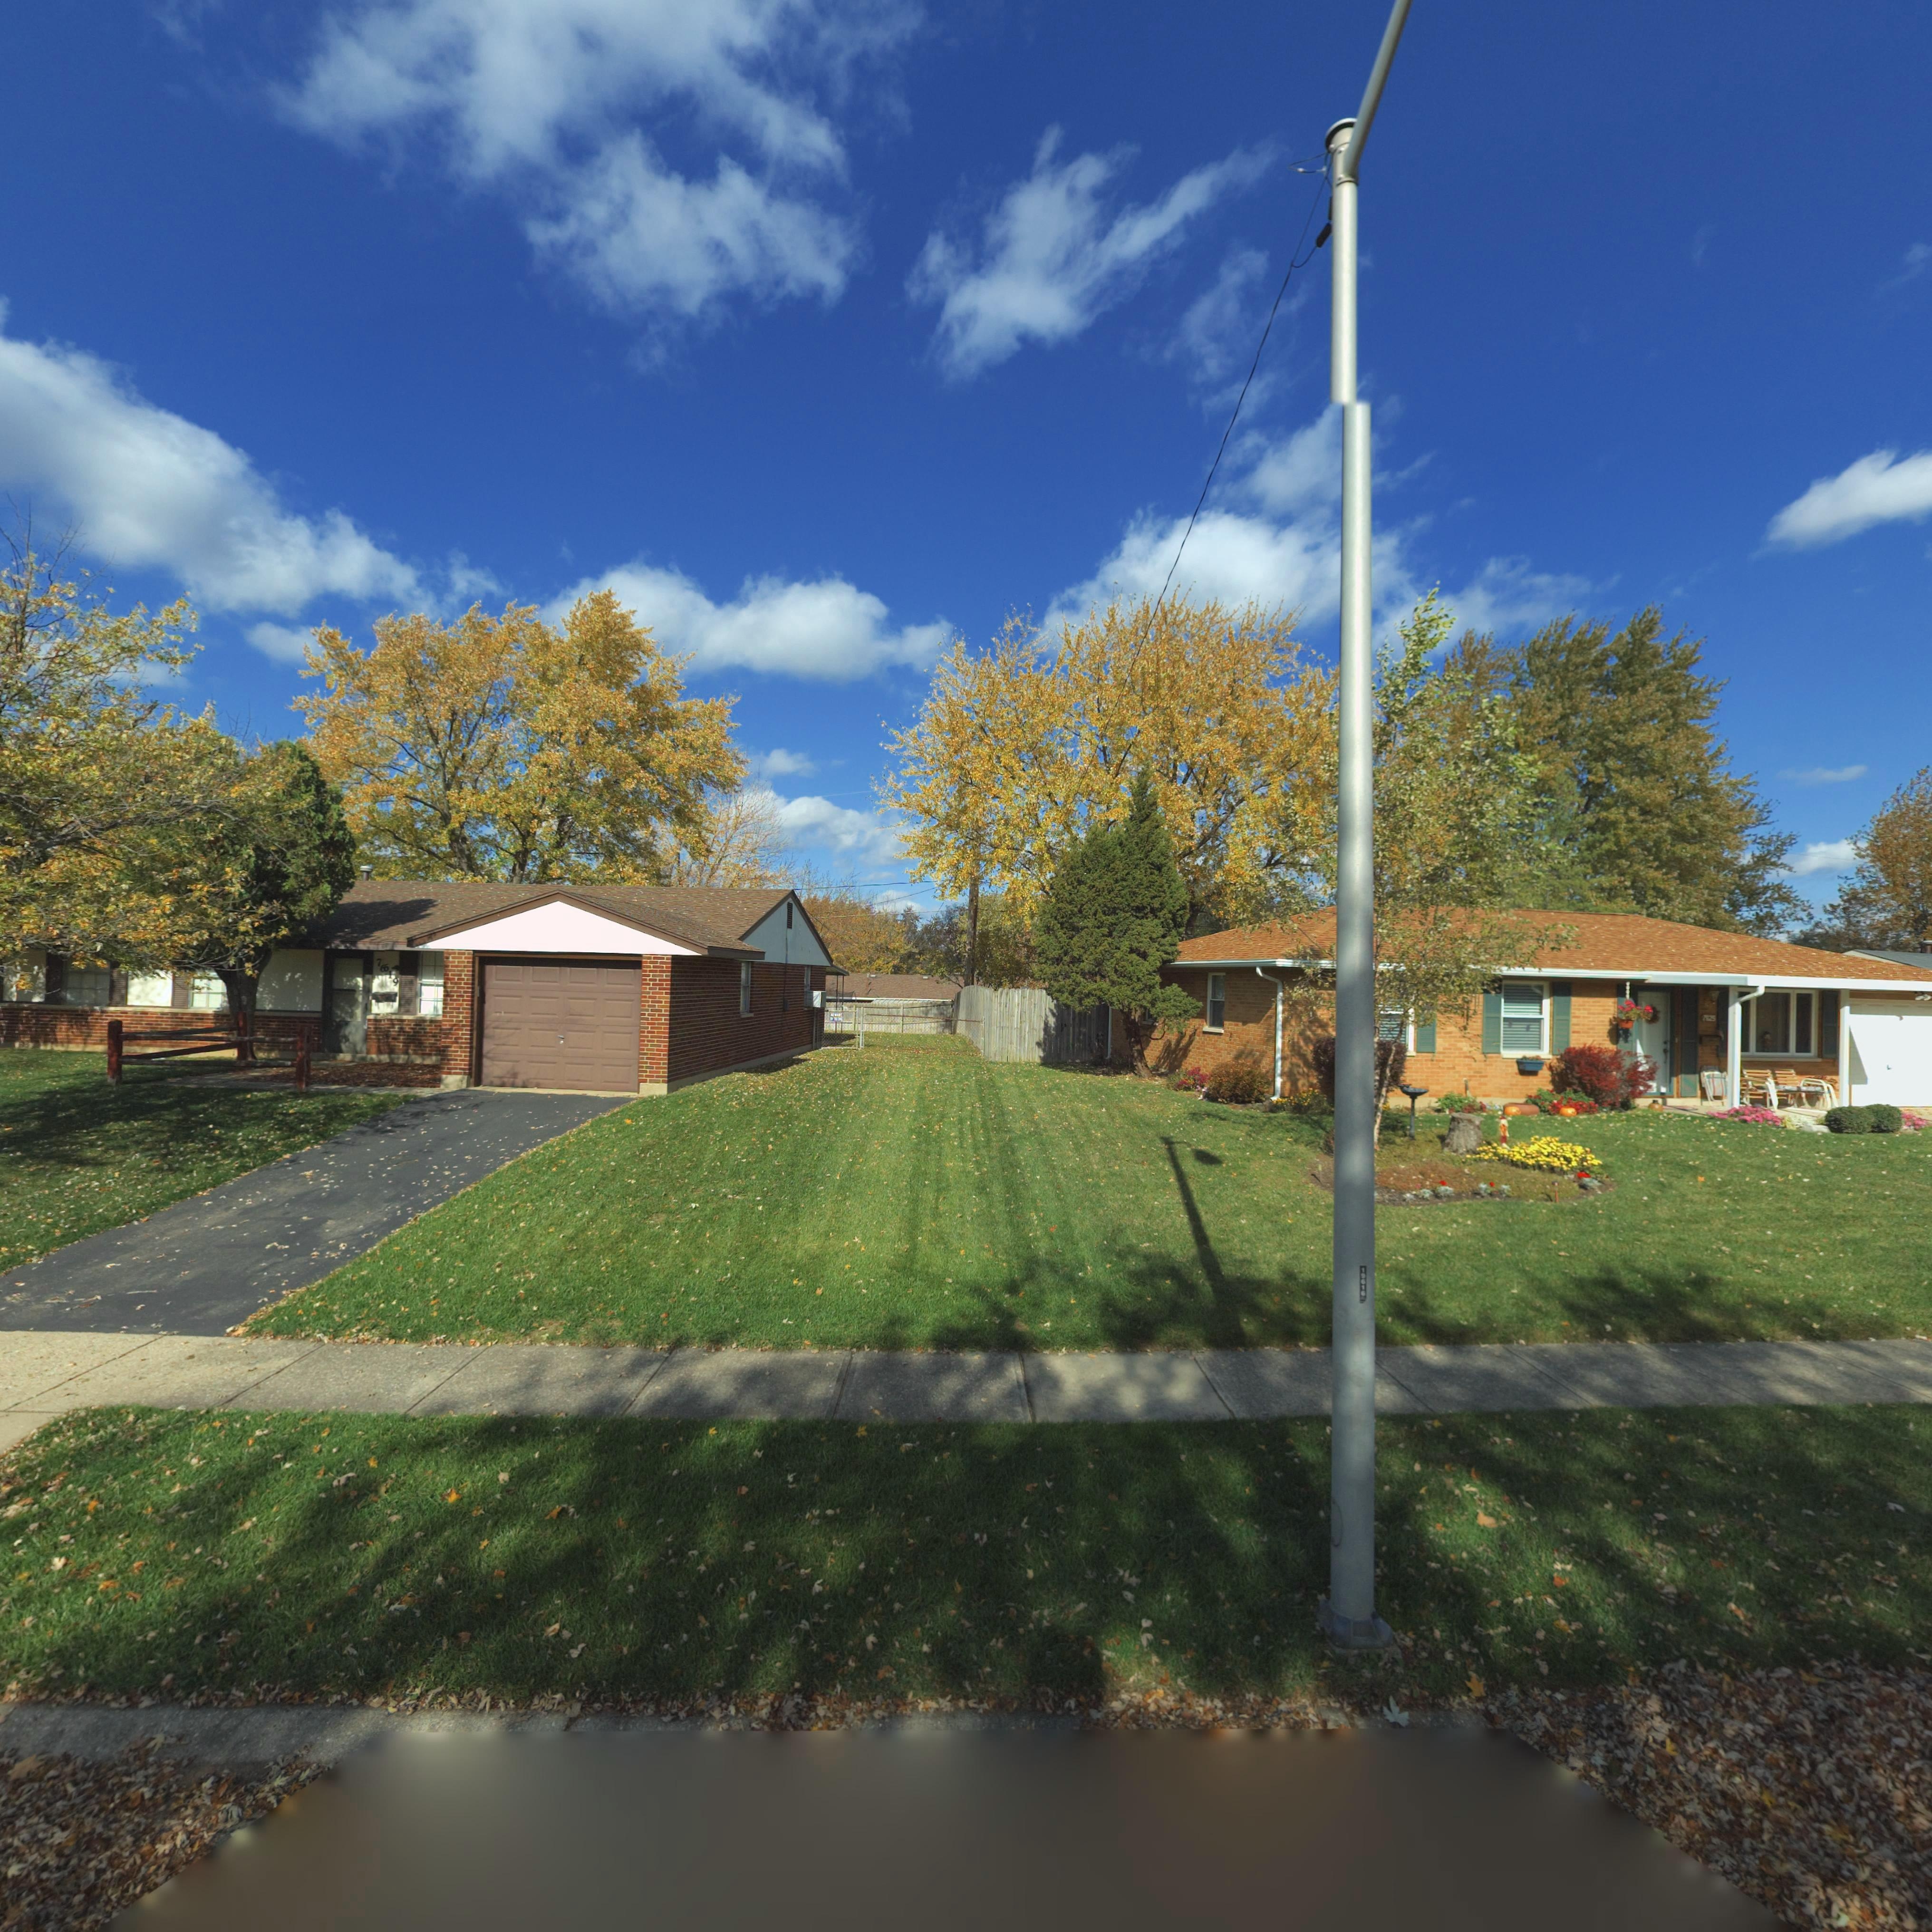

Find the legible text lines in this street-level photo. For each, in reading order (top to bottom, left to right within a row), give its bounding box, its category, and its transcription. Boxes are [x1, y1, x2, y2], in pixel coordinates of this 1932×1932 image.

[376, 957, 399, 987] StreetNumber: 7*19
[1701, 1014, 1716, 1022] StreetNumber: 7*25